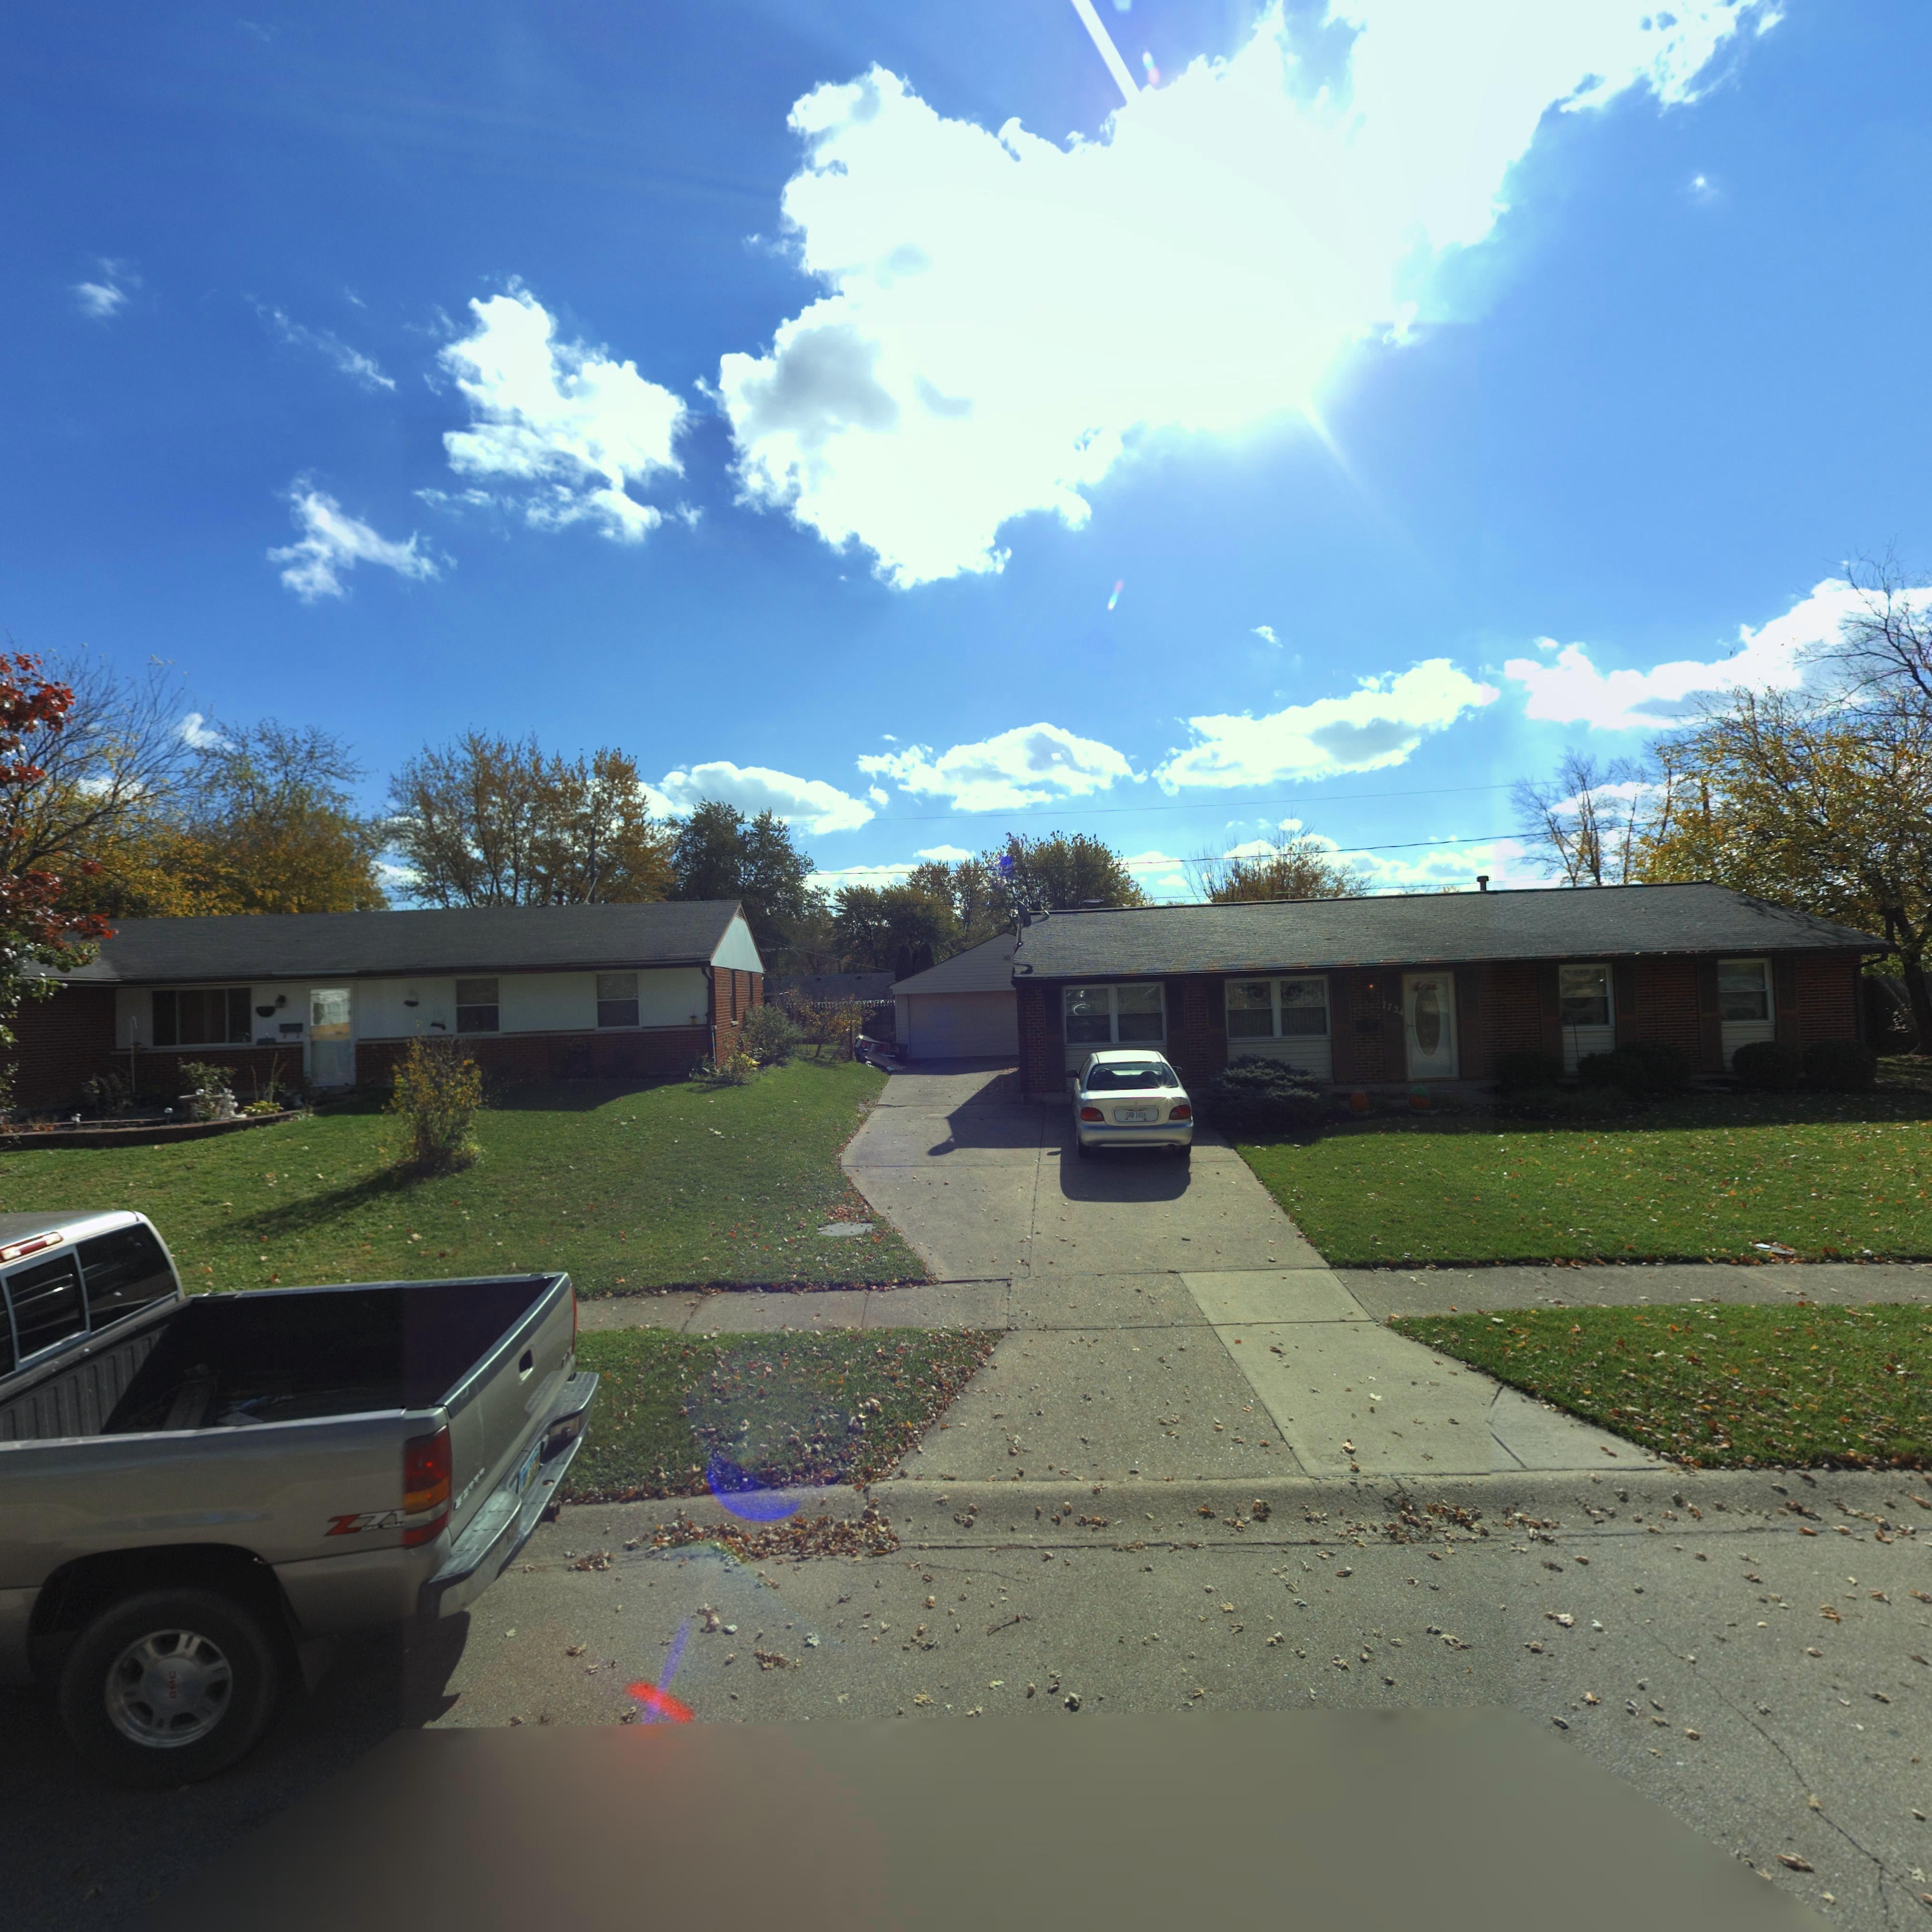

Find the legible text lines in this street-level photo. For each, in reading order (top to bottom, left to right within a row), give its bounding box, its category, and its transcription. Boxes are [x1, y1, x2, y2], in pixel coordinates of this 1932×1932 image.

[1381, 1000, 1404, 1017] StreetNumber: 7724